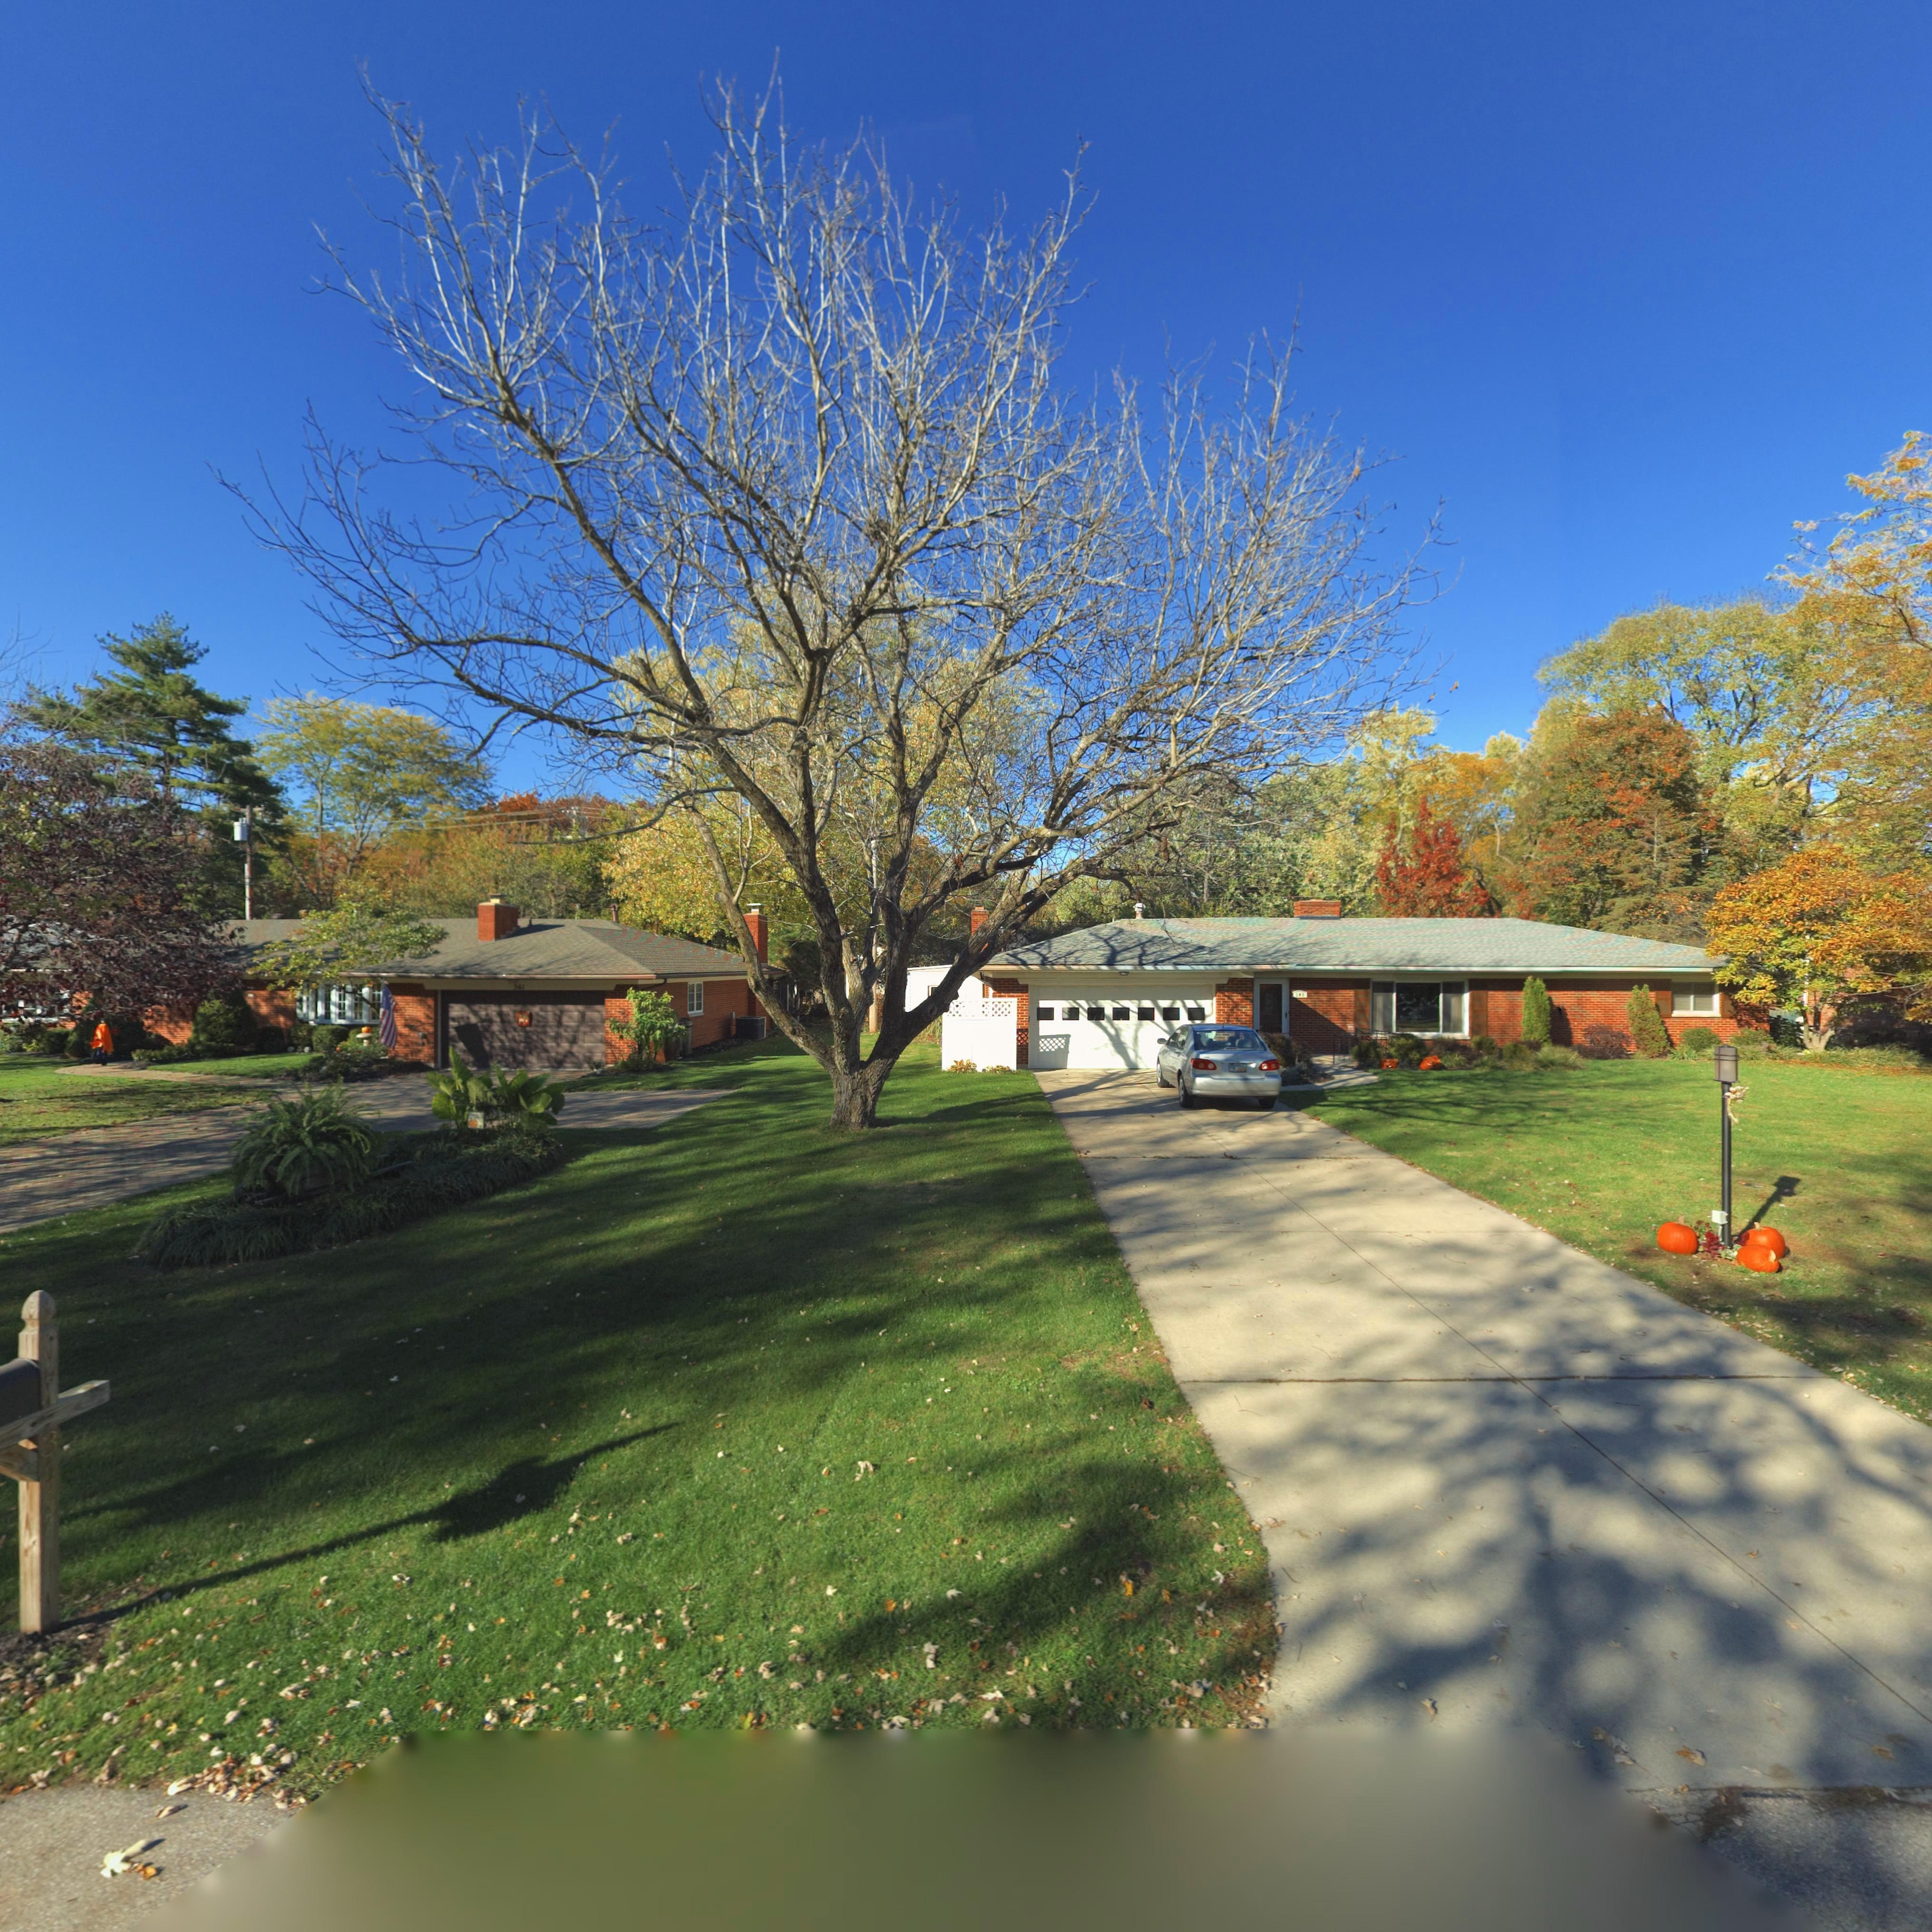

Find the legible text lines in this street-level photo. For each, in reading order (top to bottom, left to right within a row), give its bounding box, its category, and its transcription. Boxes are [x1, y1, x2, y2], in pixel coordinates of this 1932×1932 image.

[512, 983, 525, 991] StreetNumber: 361
[1294, 992, 1305, 997] StreetNumber: 341
[39, 1425, 60, 1535] StreetNumber: 341